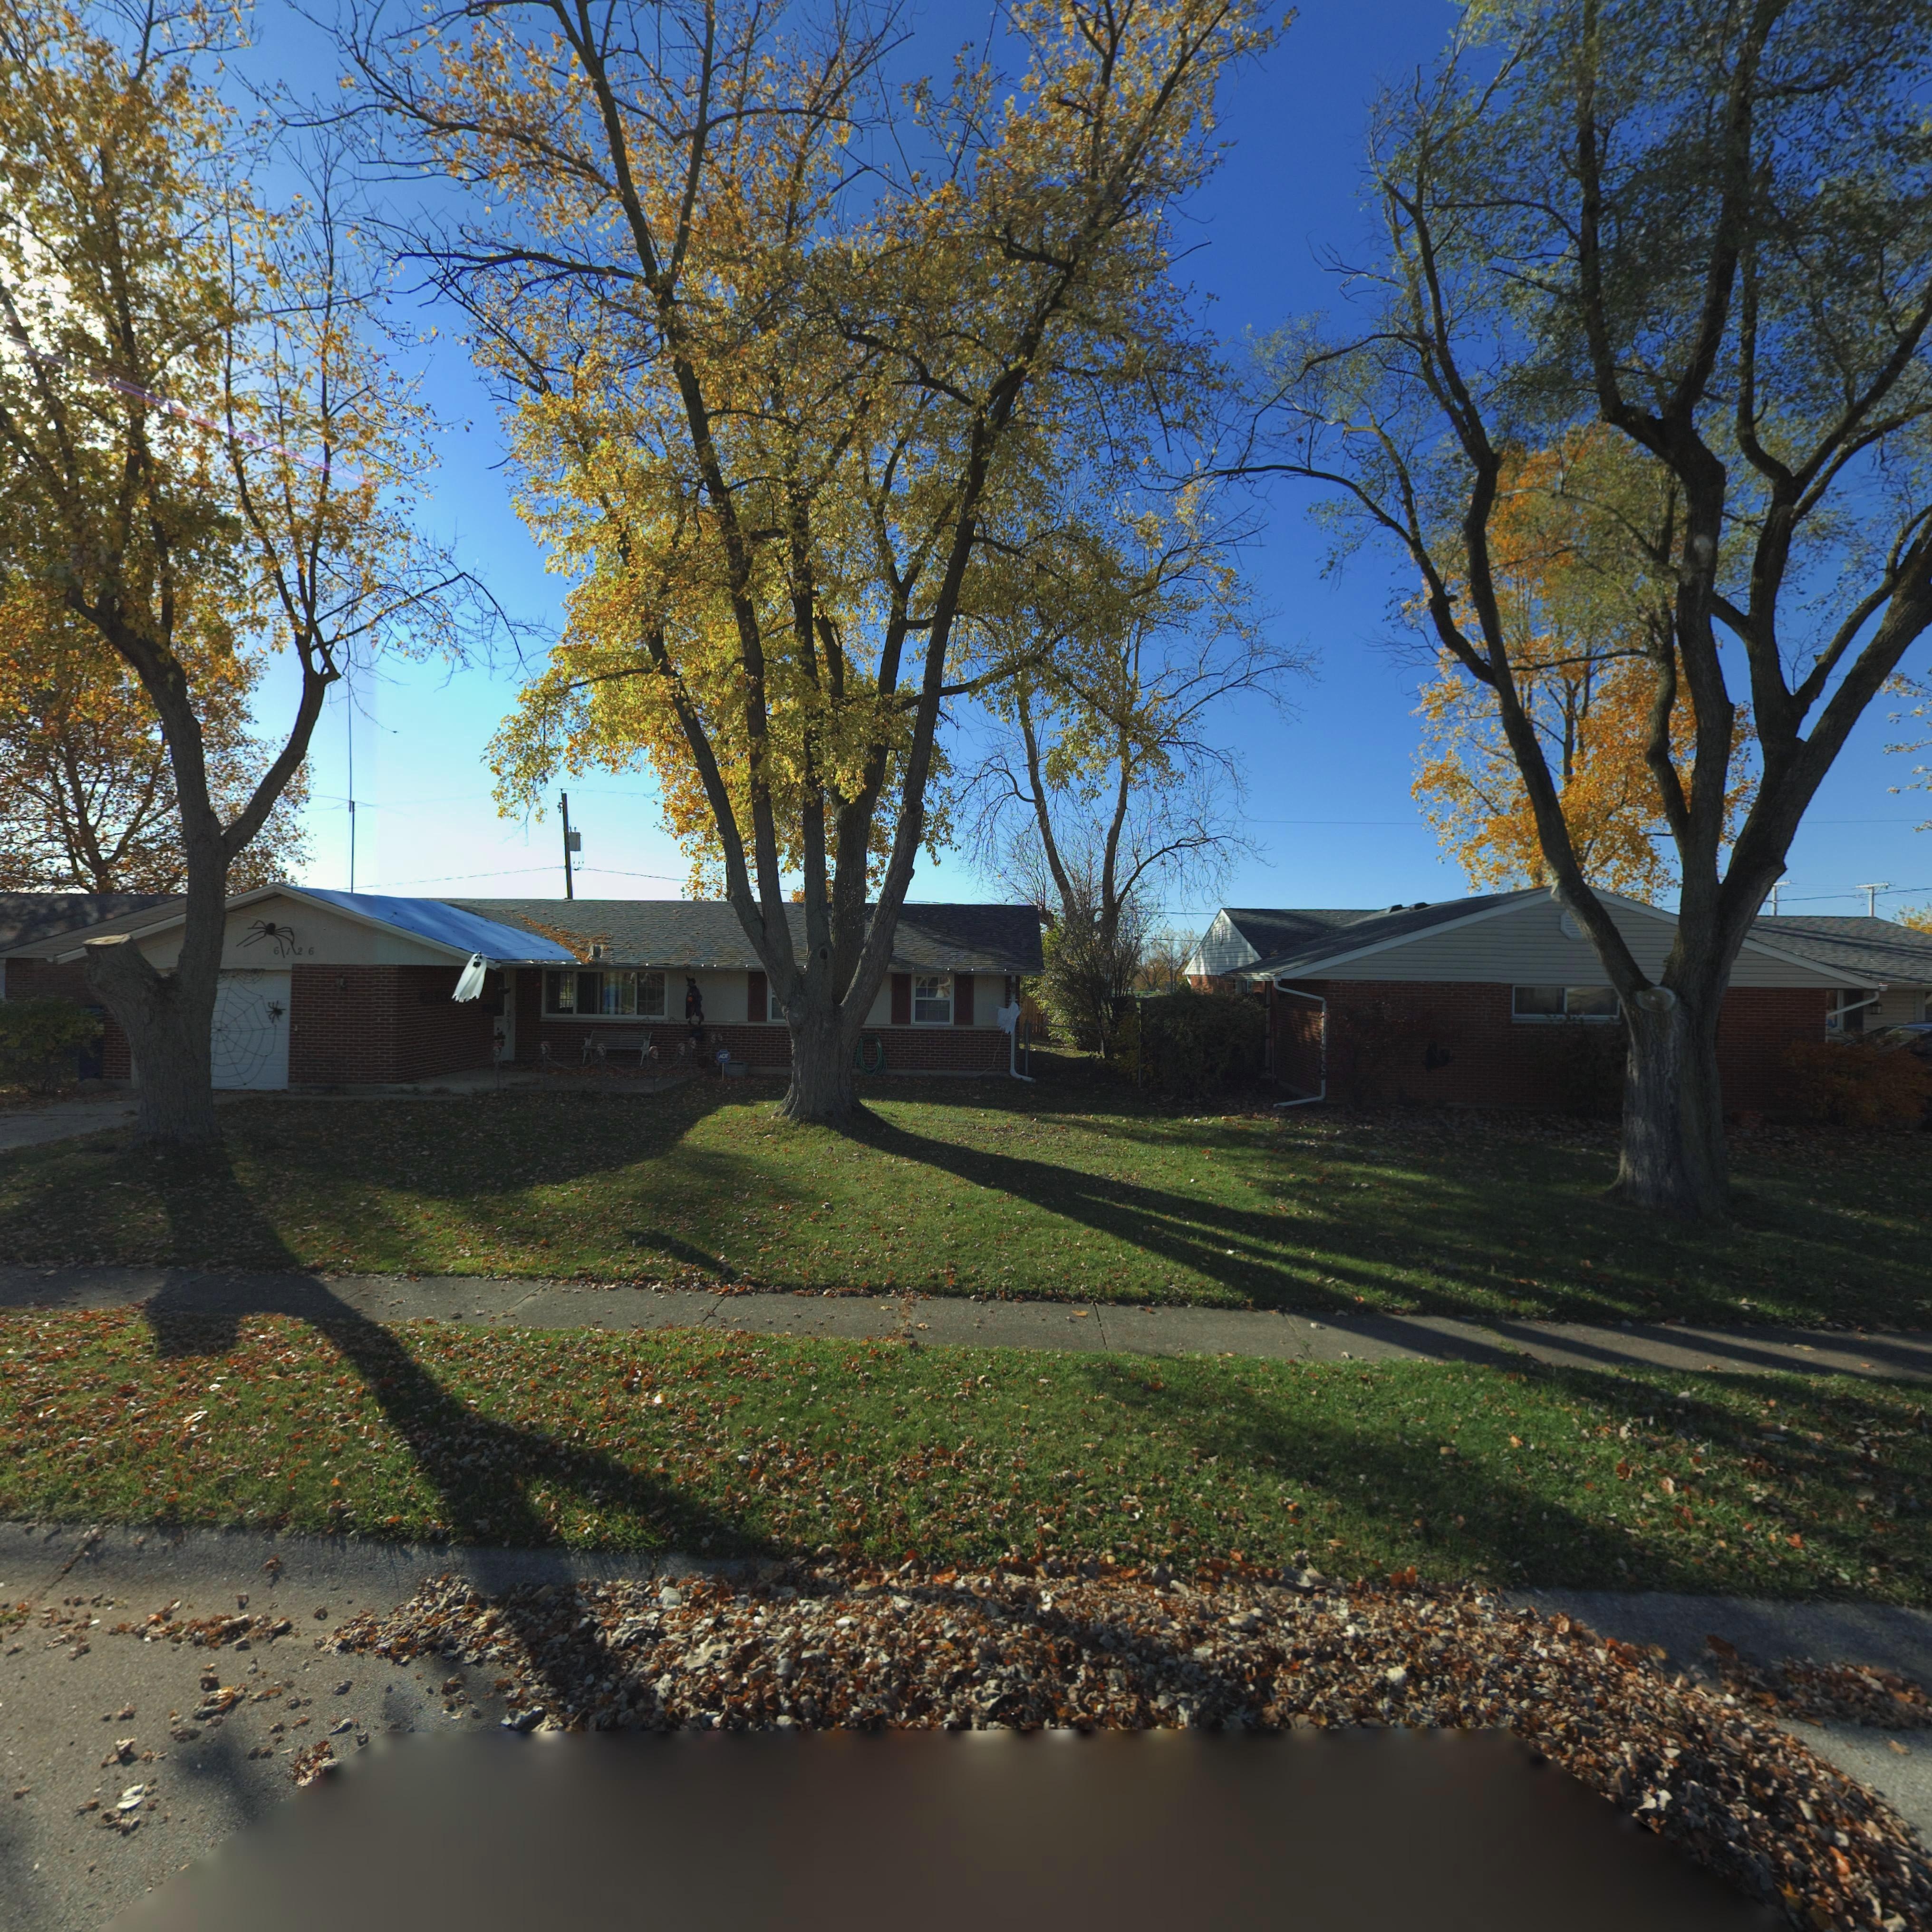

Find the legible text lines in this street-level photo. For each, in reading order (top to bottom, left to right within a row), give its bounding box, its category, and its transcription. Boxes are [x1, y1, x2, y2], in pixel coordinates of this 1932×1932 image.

[272, 946, 315, 956] StreetNumber: 6126